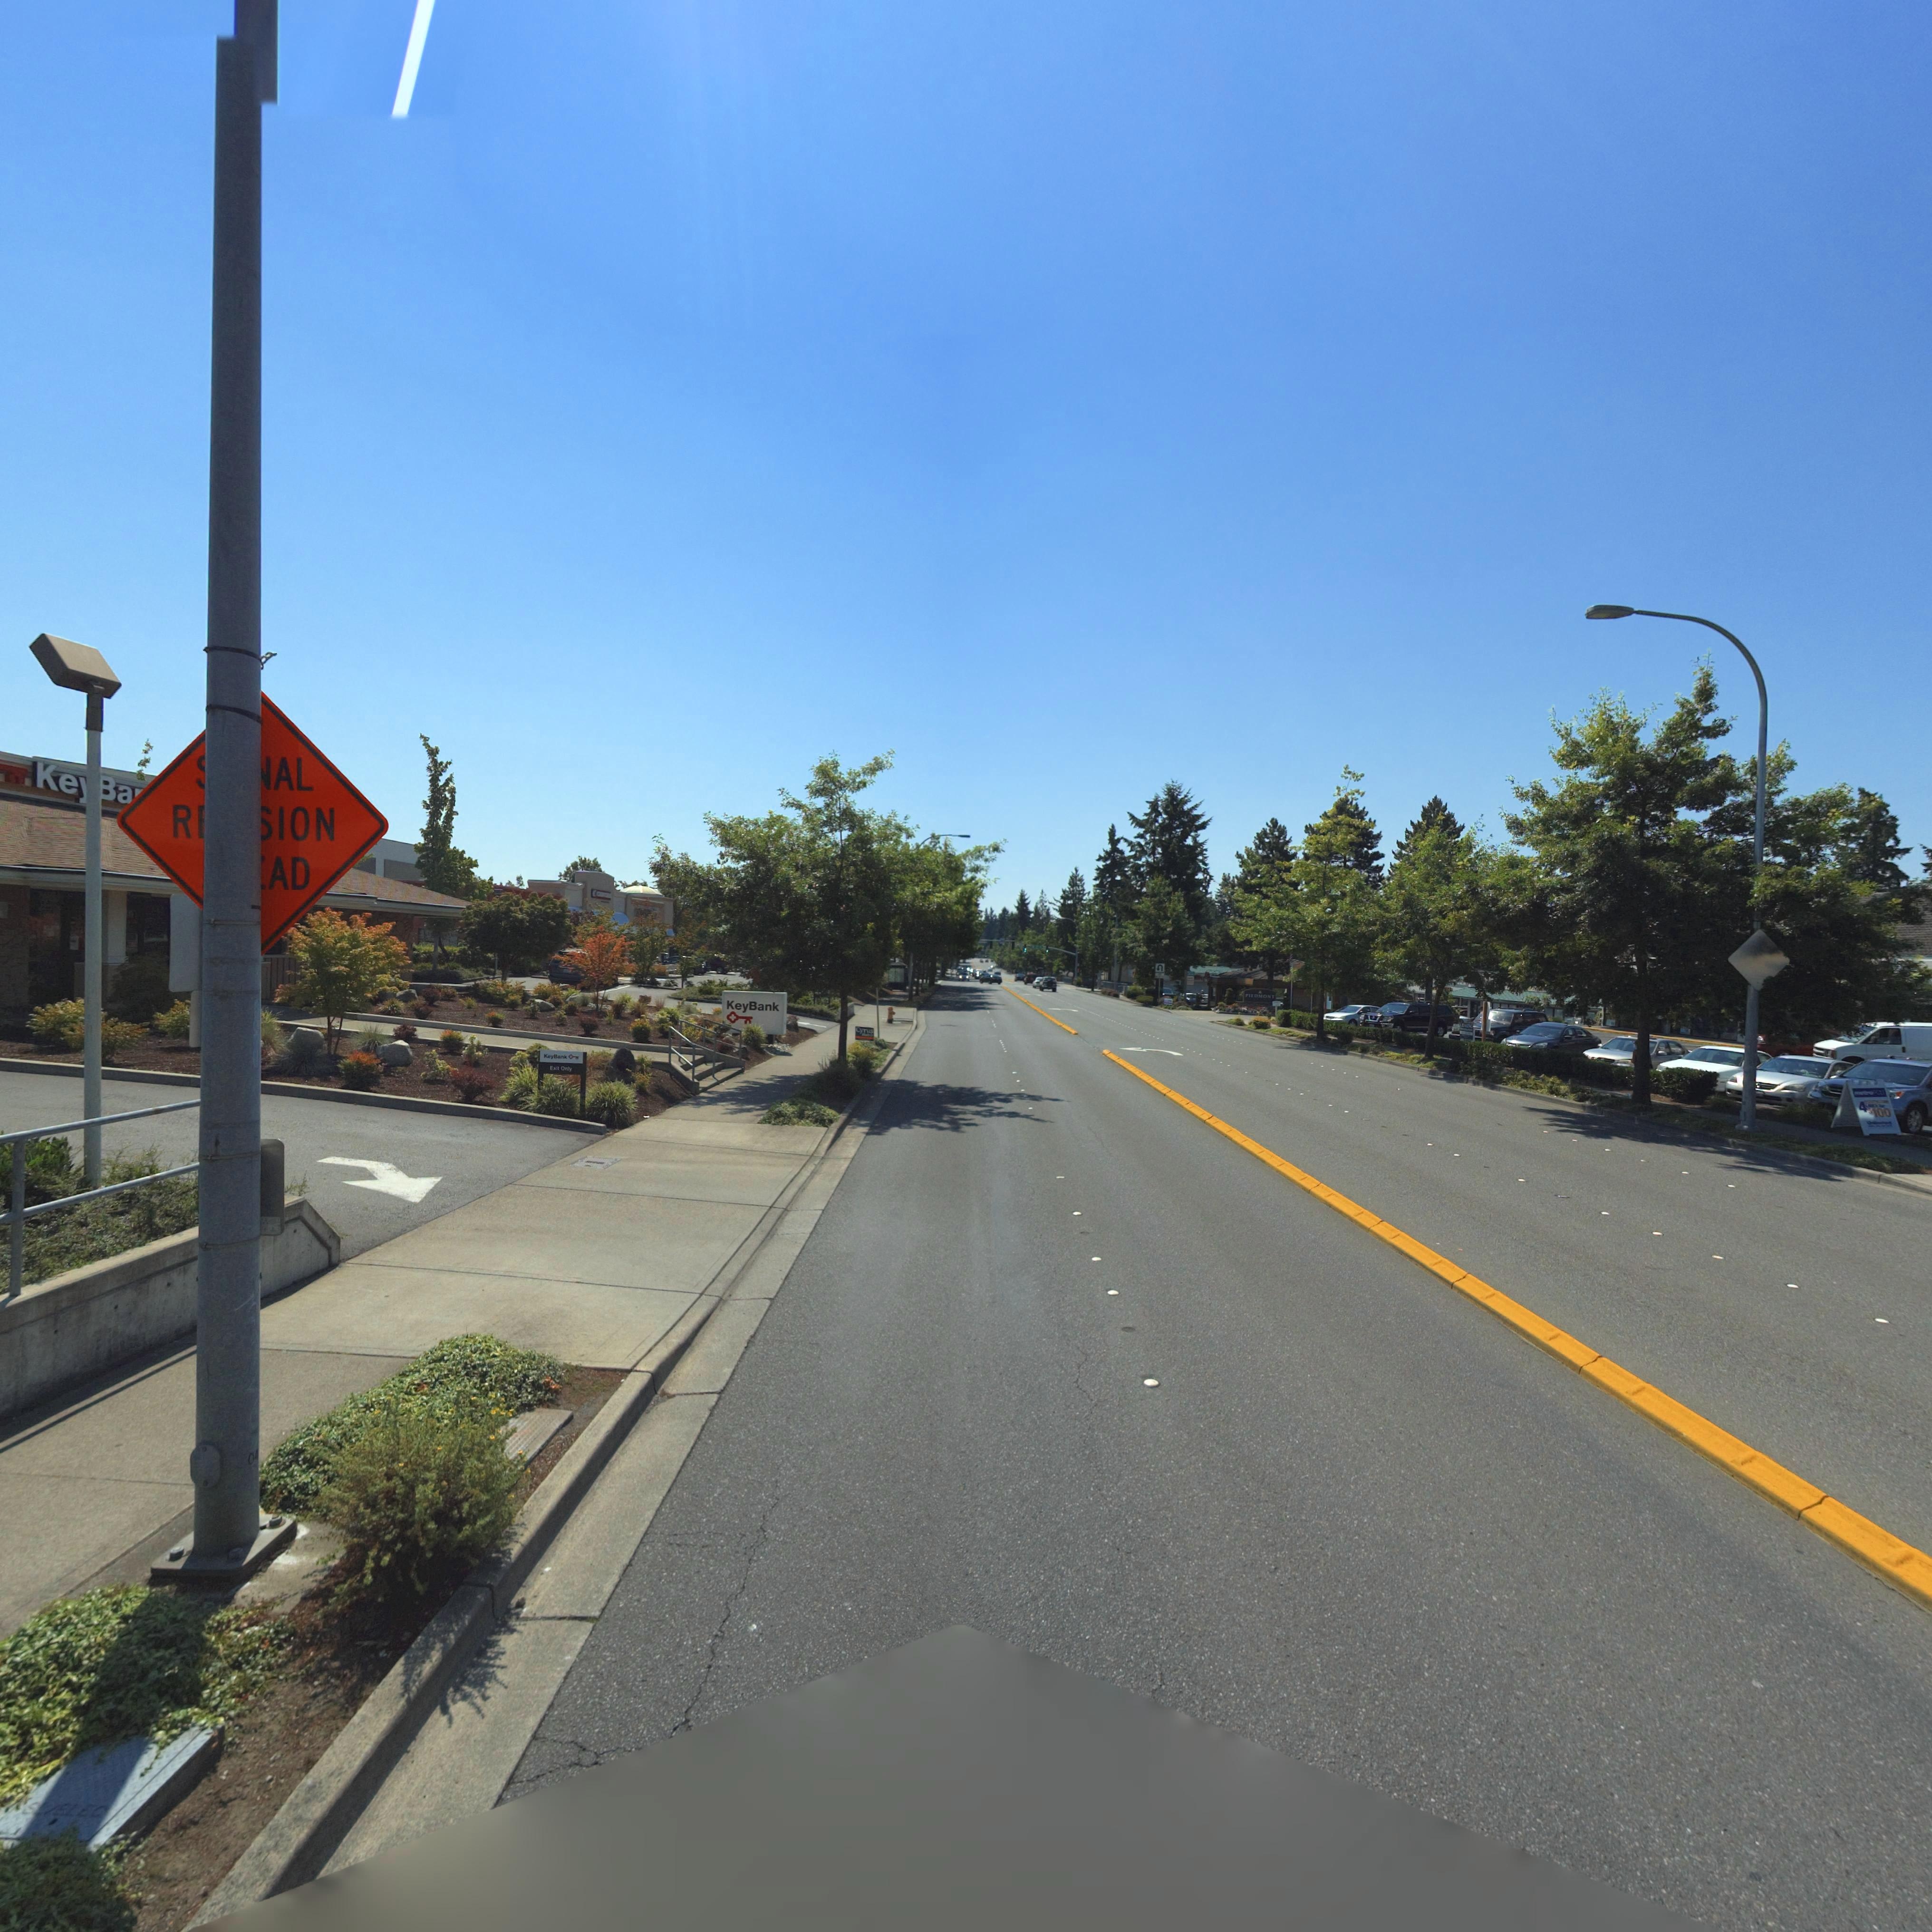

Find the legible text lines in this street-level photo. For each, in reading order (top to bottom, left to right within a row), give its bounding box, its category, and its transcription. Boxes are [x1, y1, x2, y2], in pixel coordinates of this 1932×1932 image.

[31, 746, 162, 815] BusinessName: Ke*Ba*
[726, 1000, 779, 1012] BusinessName: KeyBank